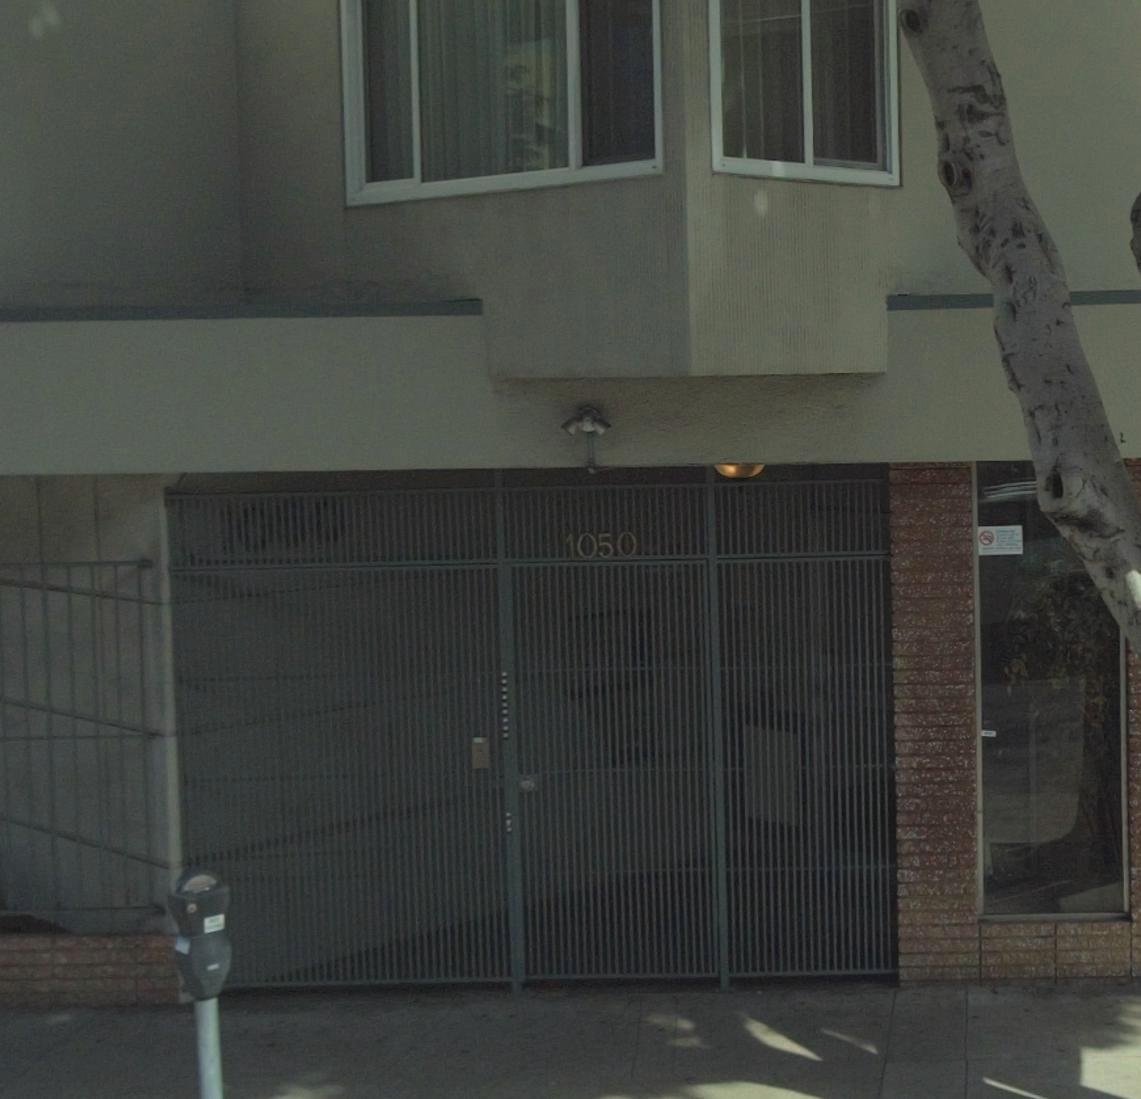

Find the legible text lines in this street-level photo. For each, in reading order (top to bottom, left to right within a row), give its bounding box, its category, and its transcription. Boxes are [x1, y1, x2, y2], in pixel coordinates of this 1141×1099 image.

[564, 530, 638, 560] StreetNumber: 1050